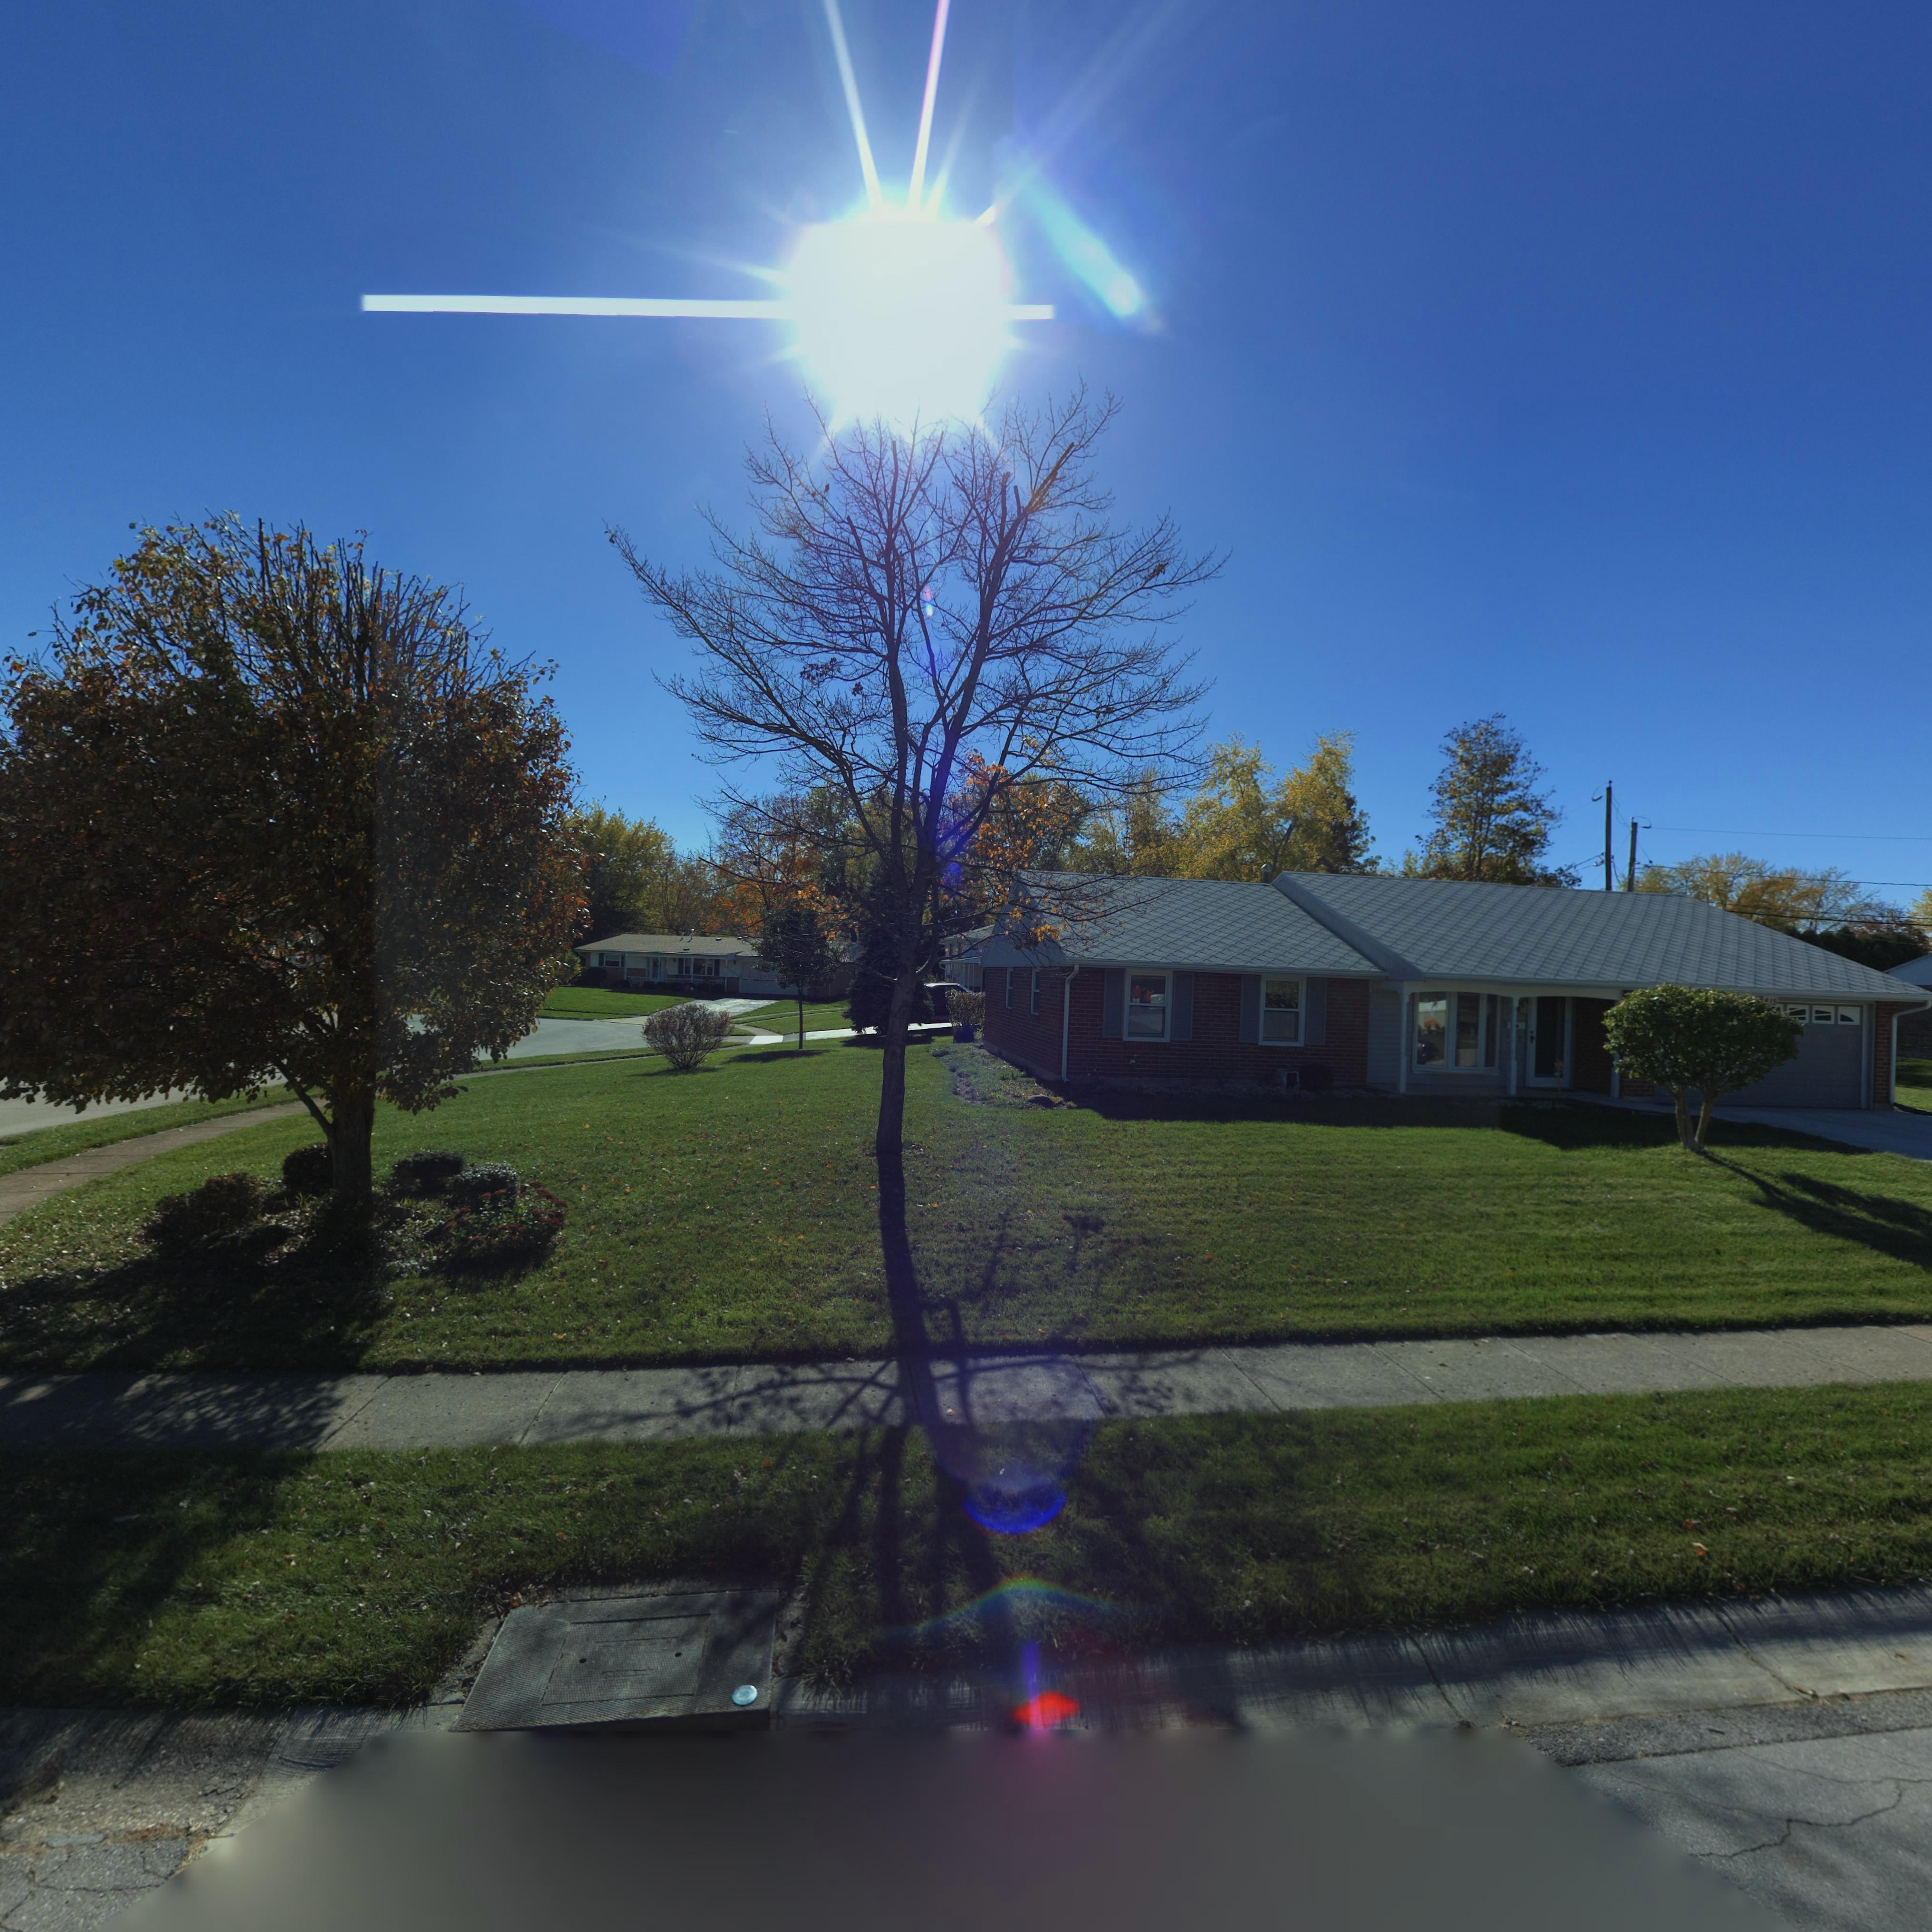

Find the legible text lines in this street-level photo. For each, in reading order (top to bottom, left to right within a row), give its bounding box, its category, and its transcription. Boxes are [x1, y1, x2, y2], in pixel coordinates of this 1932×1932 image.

[1764, 997, 1777, 1005] StreetNumber: *15